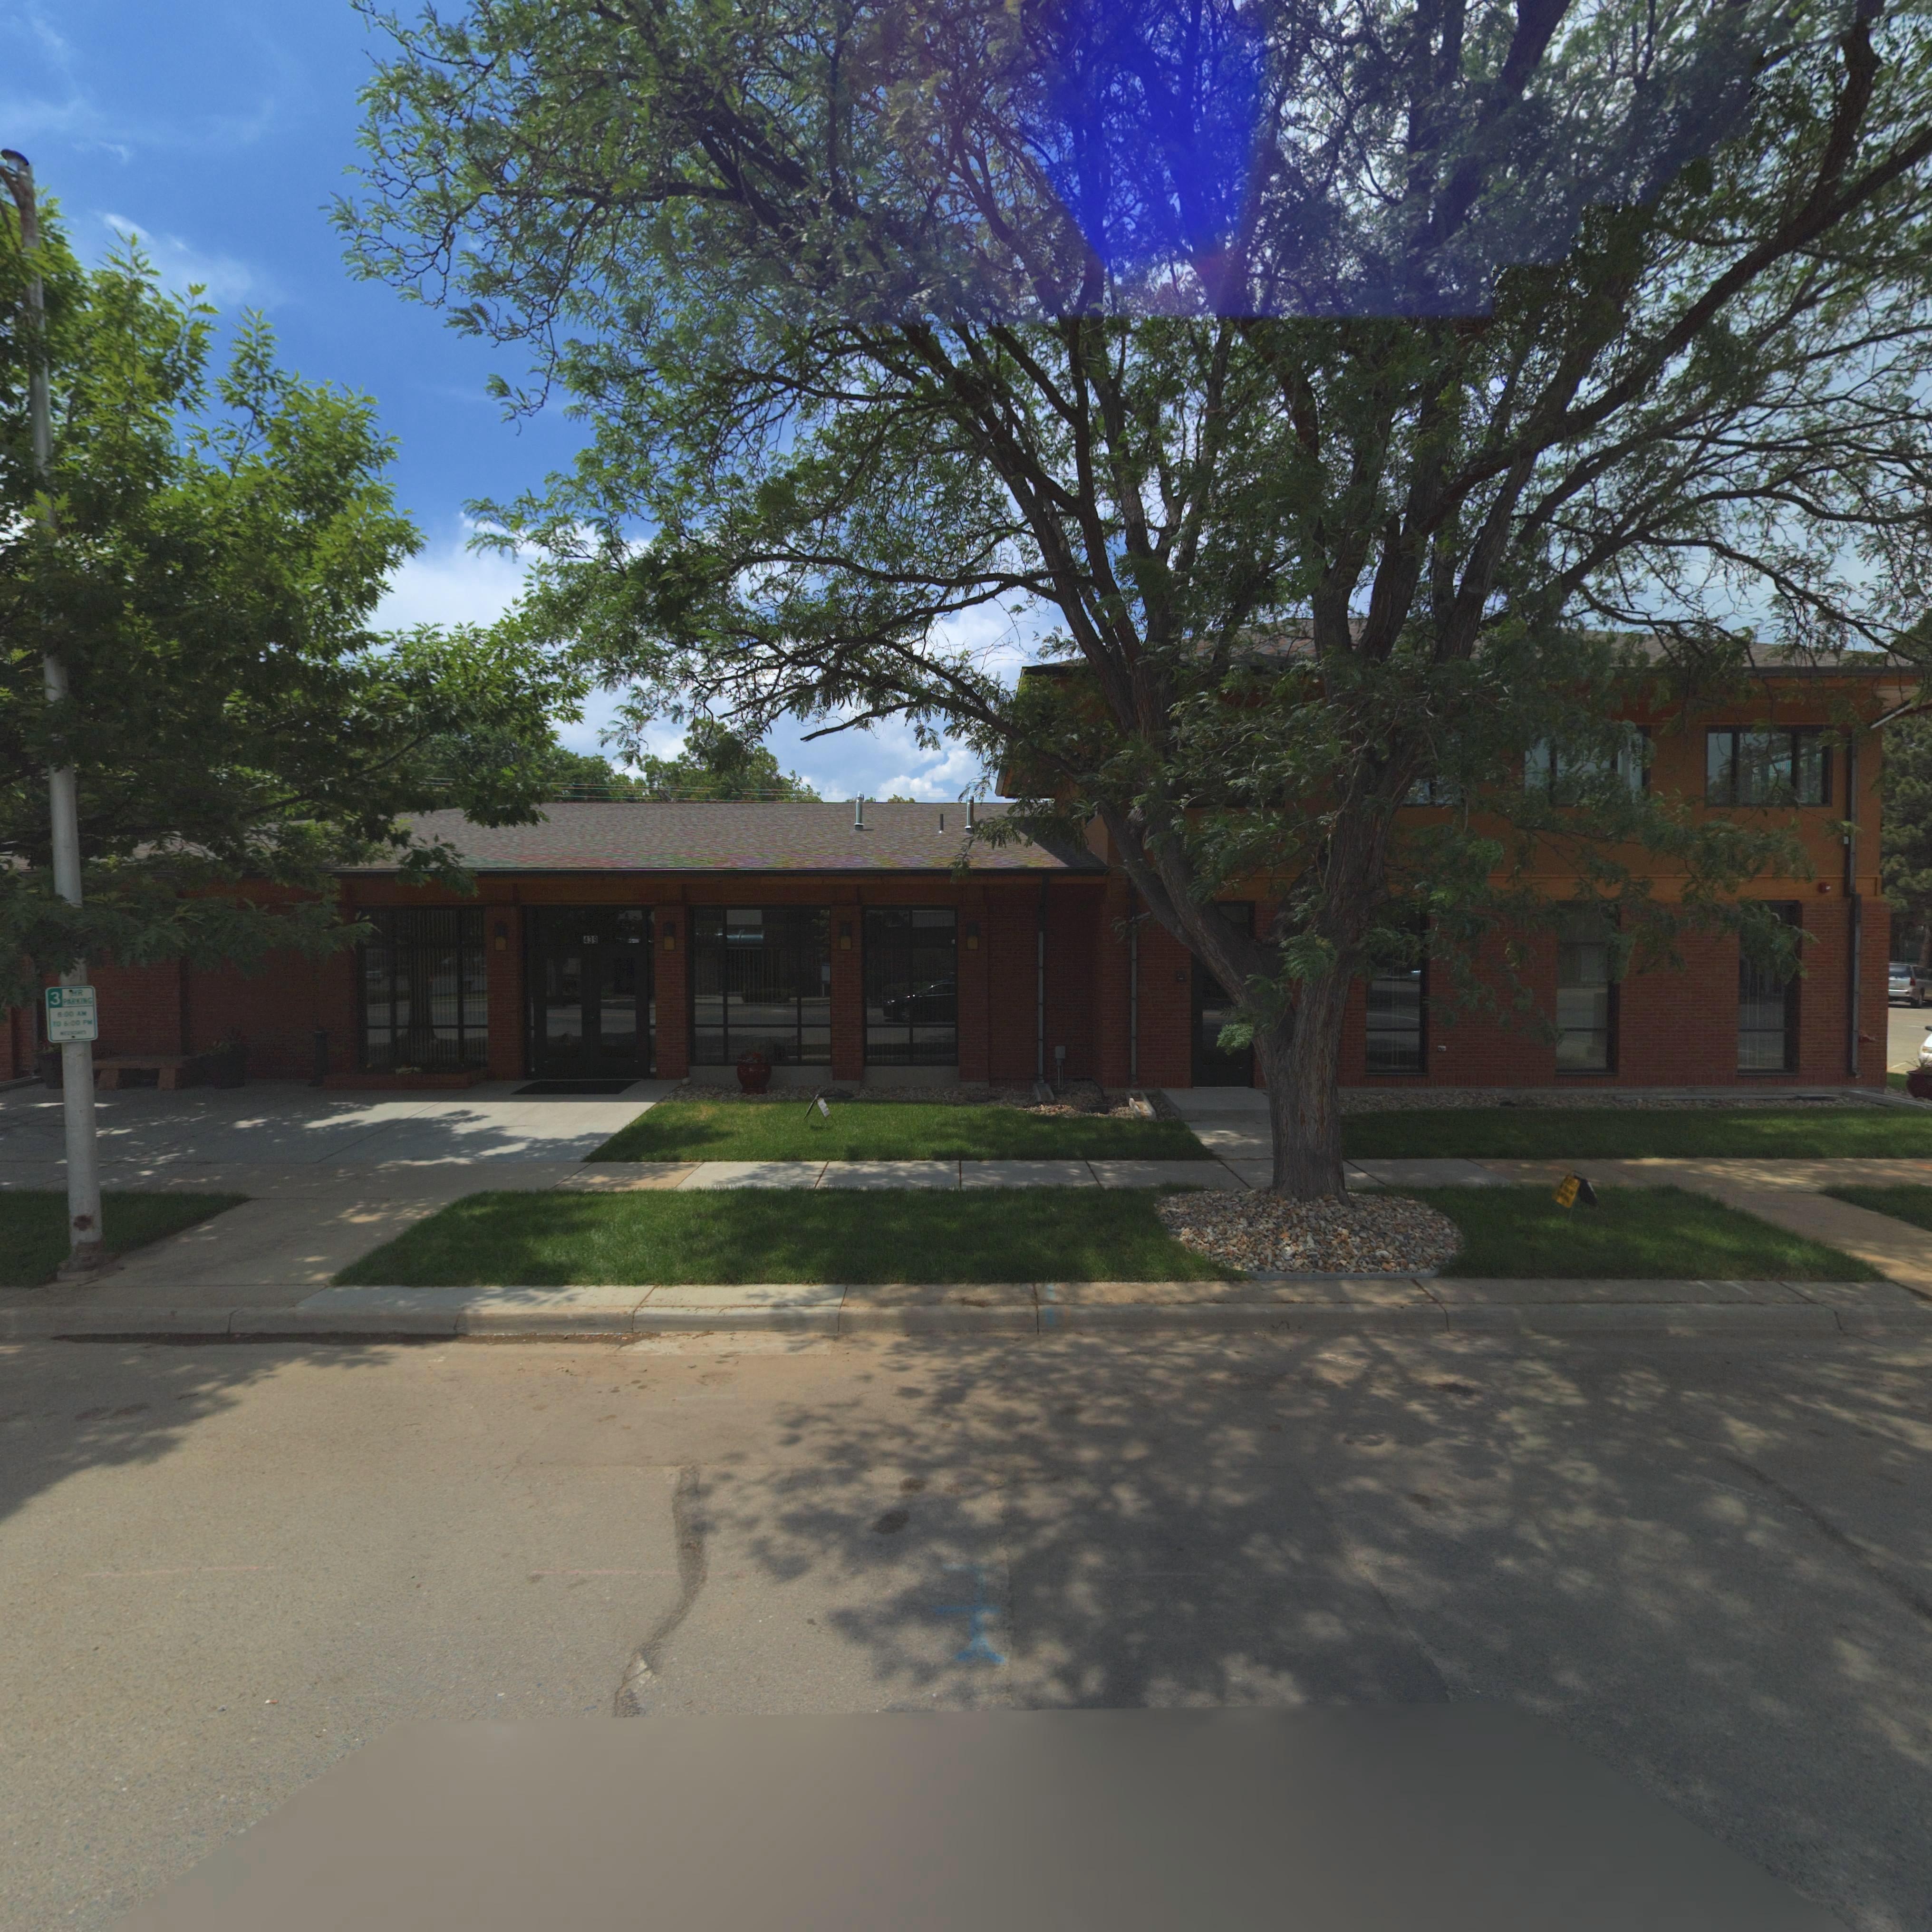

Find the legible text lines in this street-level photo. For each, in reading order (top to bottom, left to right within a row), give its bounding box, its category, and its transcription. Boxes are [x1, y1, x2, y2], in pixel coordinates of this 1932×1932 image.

[583, 936, 597, 943] StreetNumber: 439